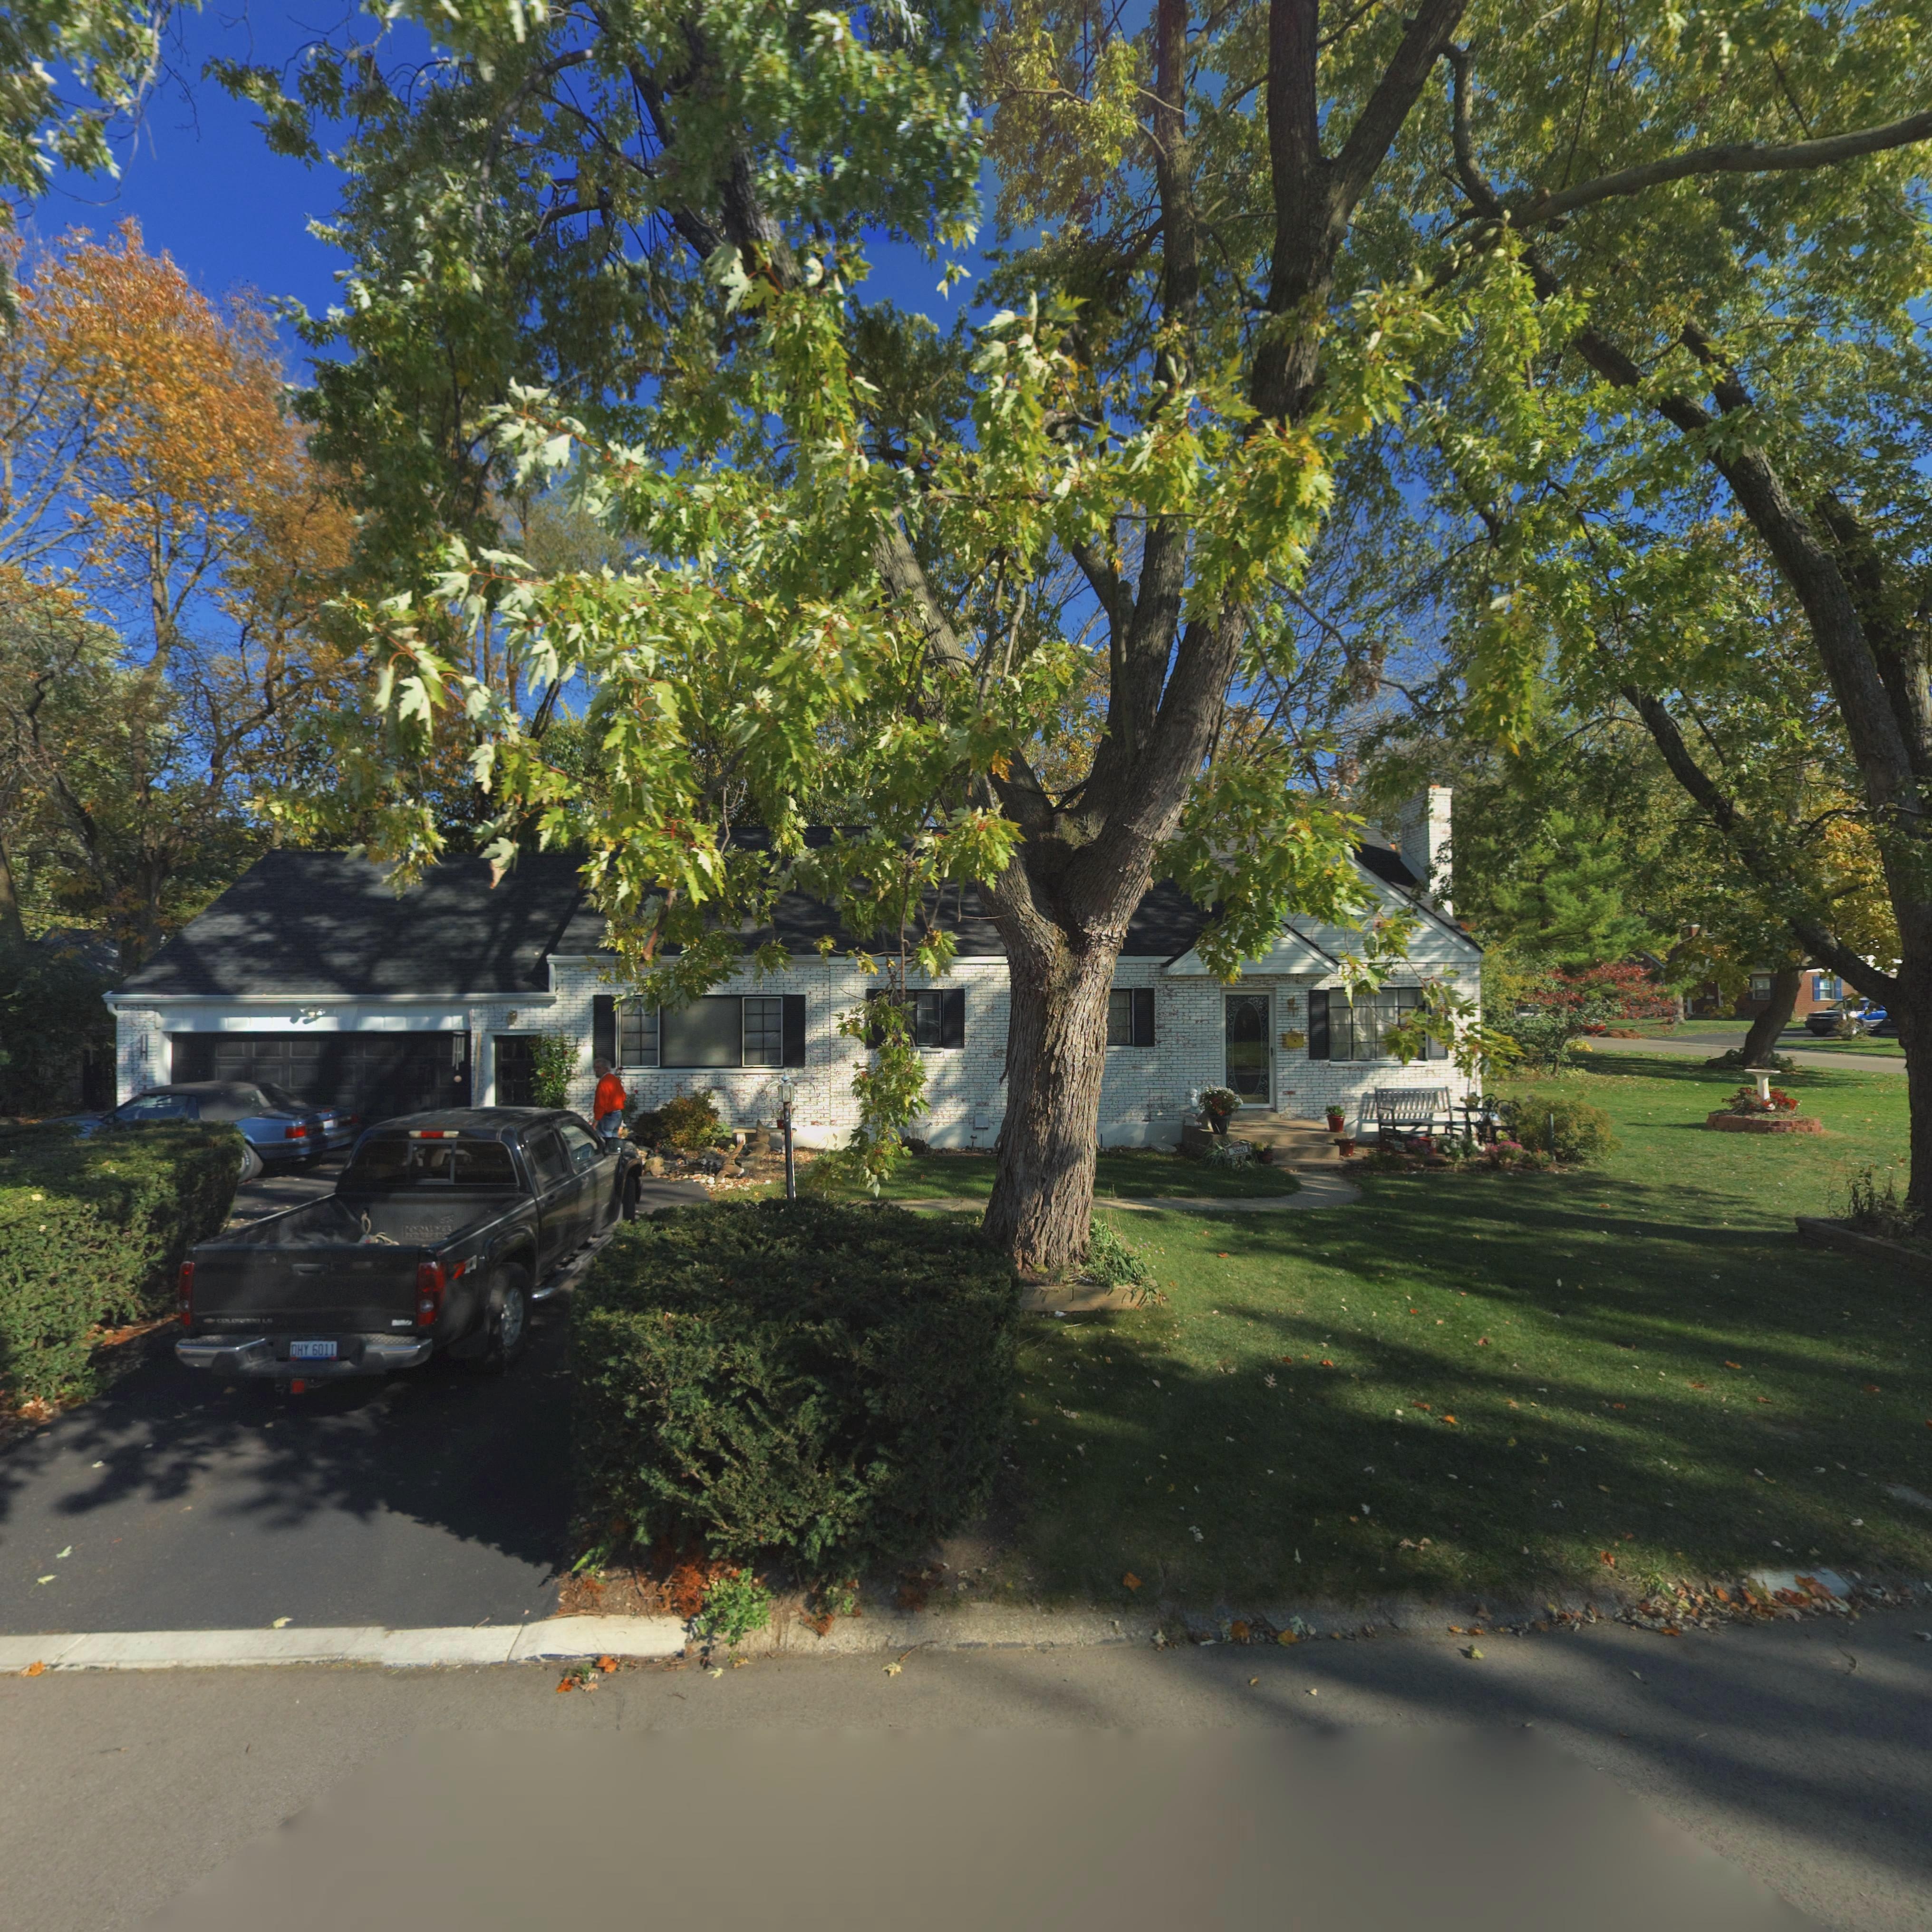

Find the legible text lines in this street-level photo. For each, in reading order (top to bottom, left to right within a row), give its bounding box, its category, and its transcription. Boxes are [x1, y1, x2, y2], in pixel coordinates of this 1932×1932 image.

[1231, 1145, 1246, 1155] StreetNumber: 3860